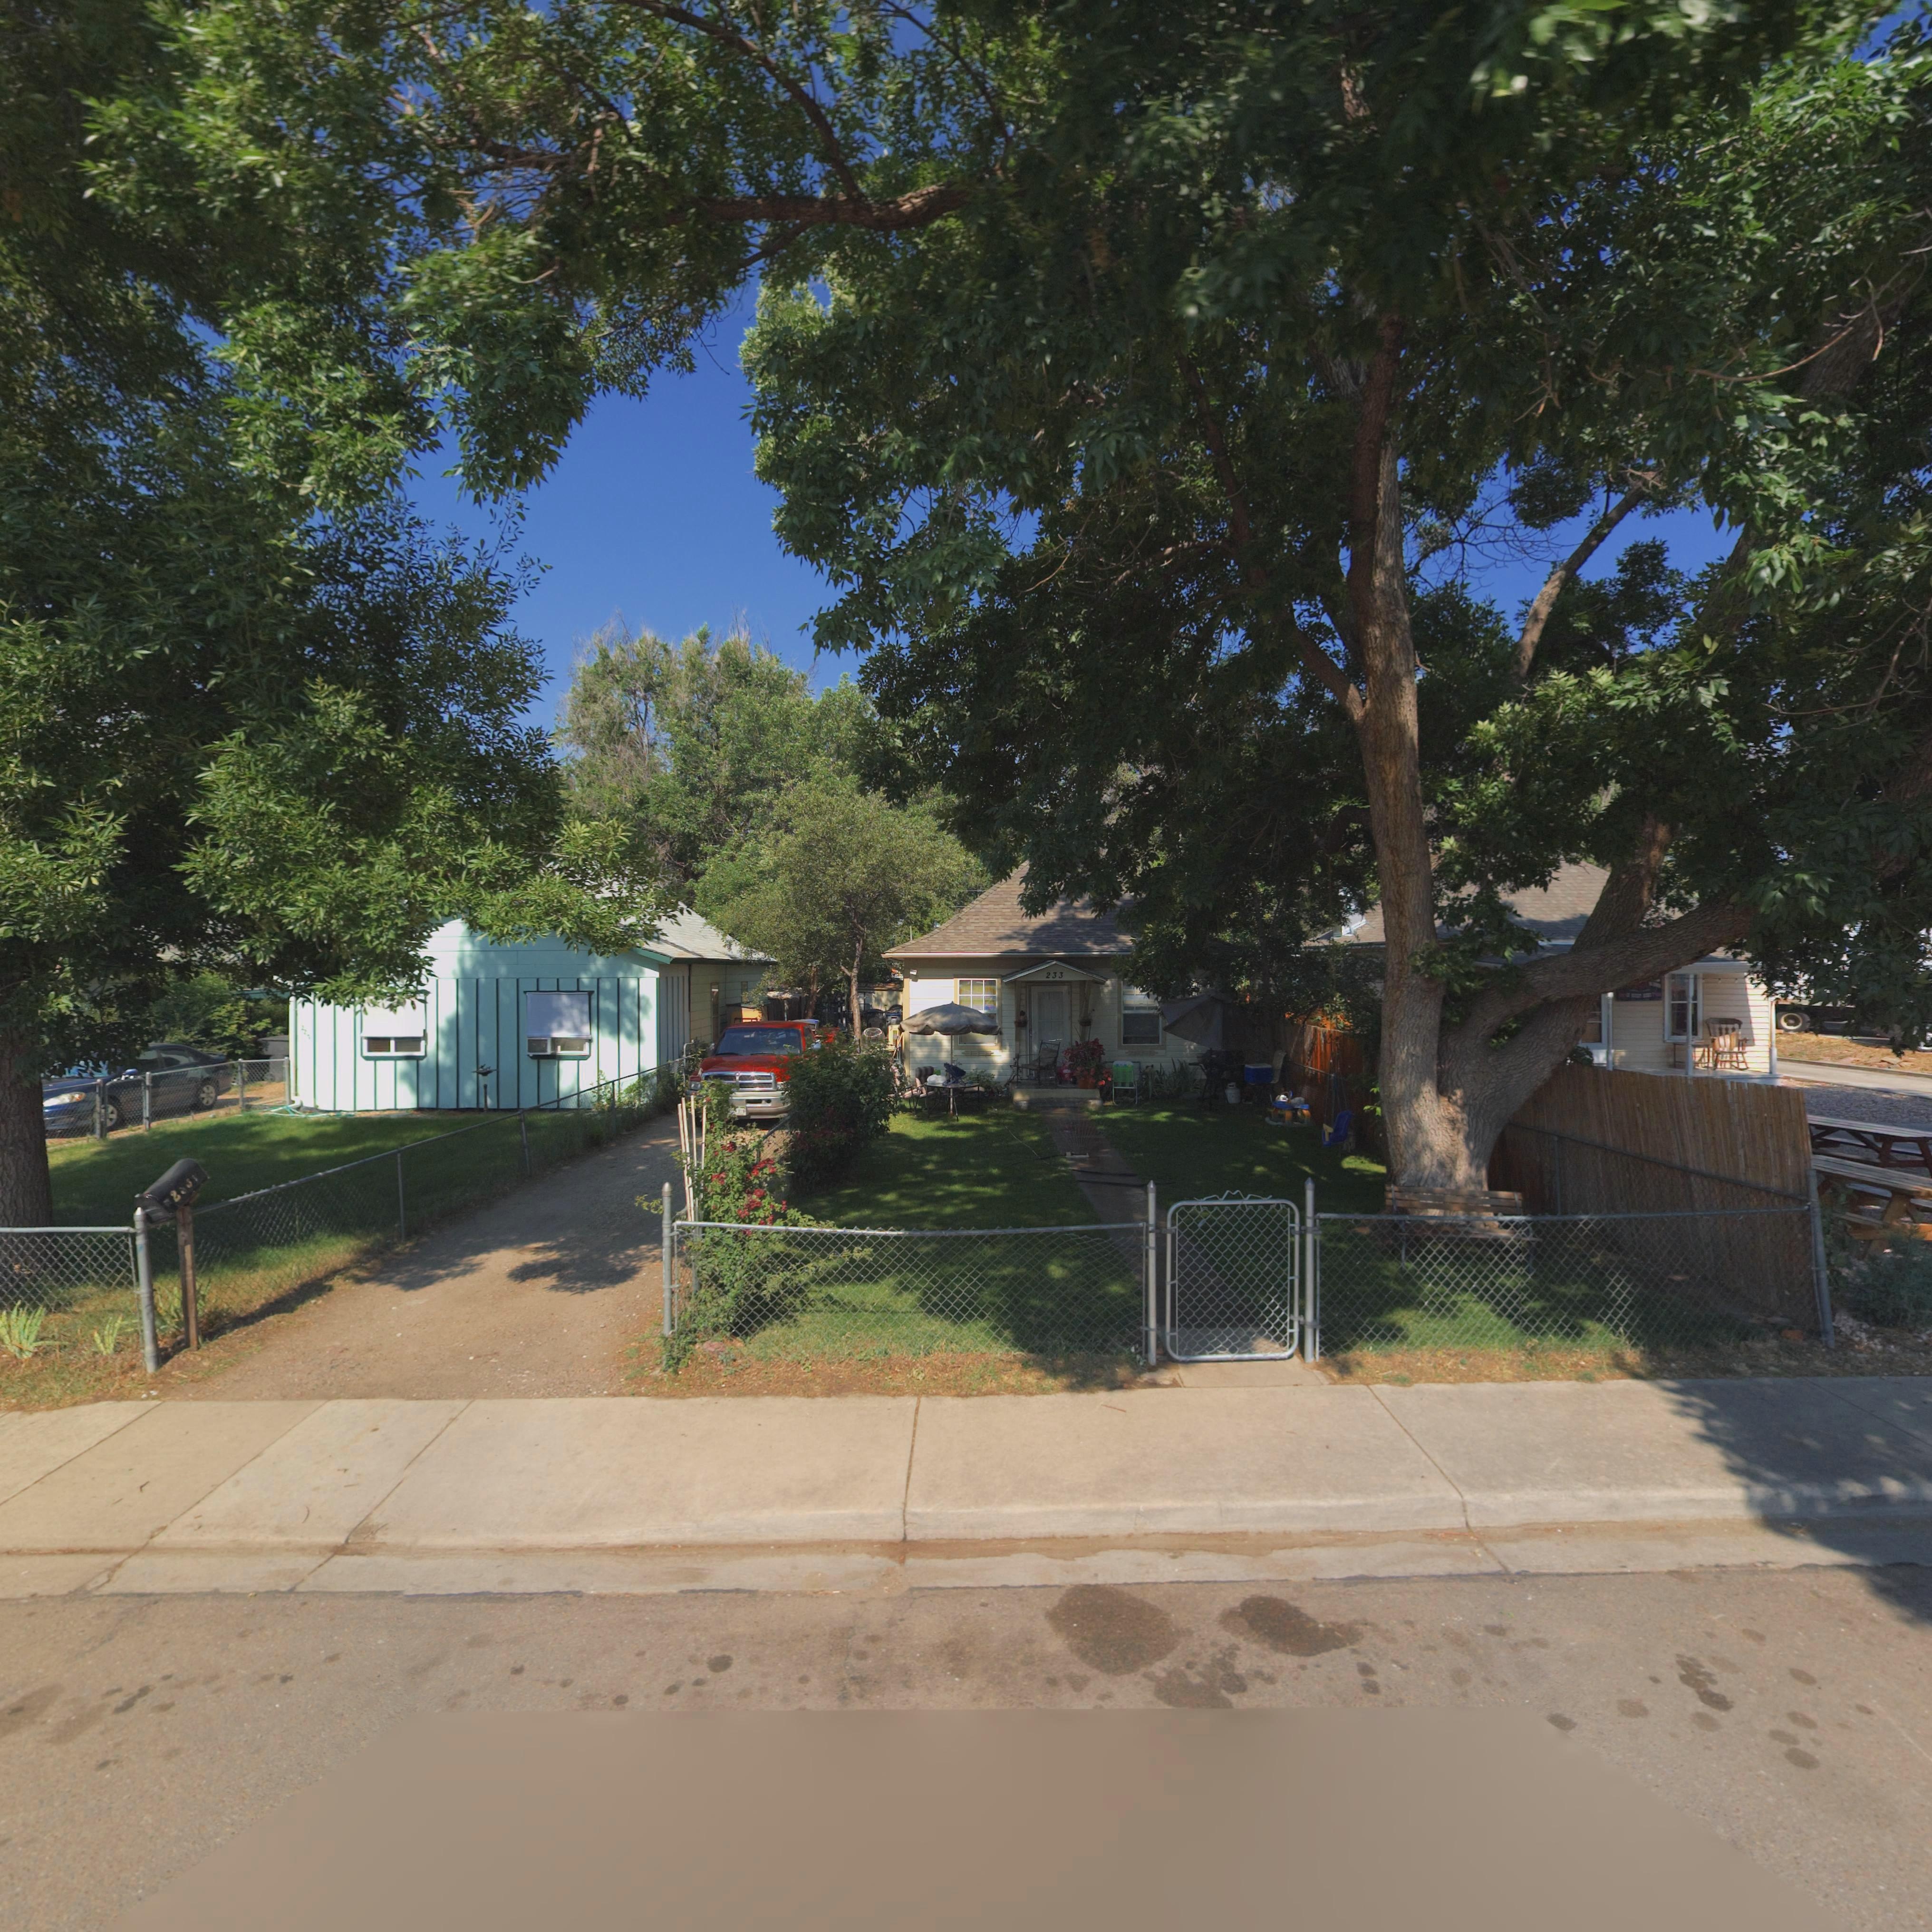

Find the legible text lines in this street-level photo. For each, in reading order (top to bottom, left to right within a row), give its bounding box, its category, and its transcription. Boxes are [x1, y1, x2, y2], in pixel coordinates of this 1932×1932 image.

[1045, 971, 1064, 979] StreetNumber: 233
[301, 1024, 311, 1040] StreetNumber: *21
[168, 1170, 200, 1206] StreetNumber: 2***